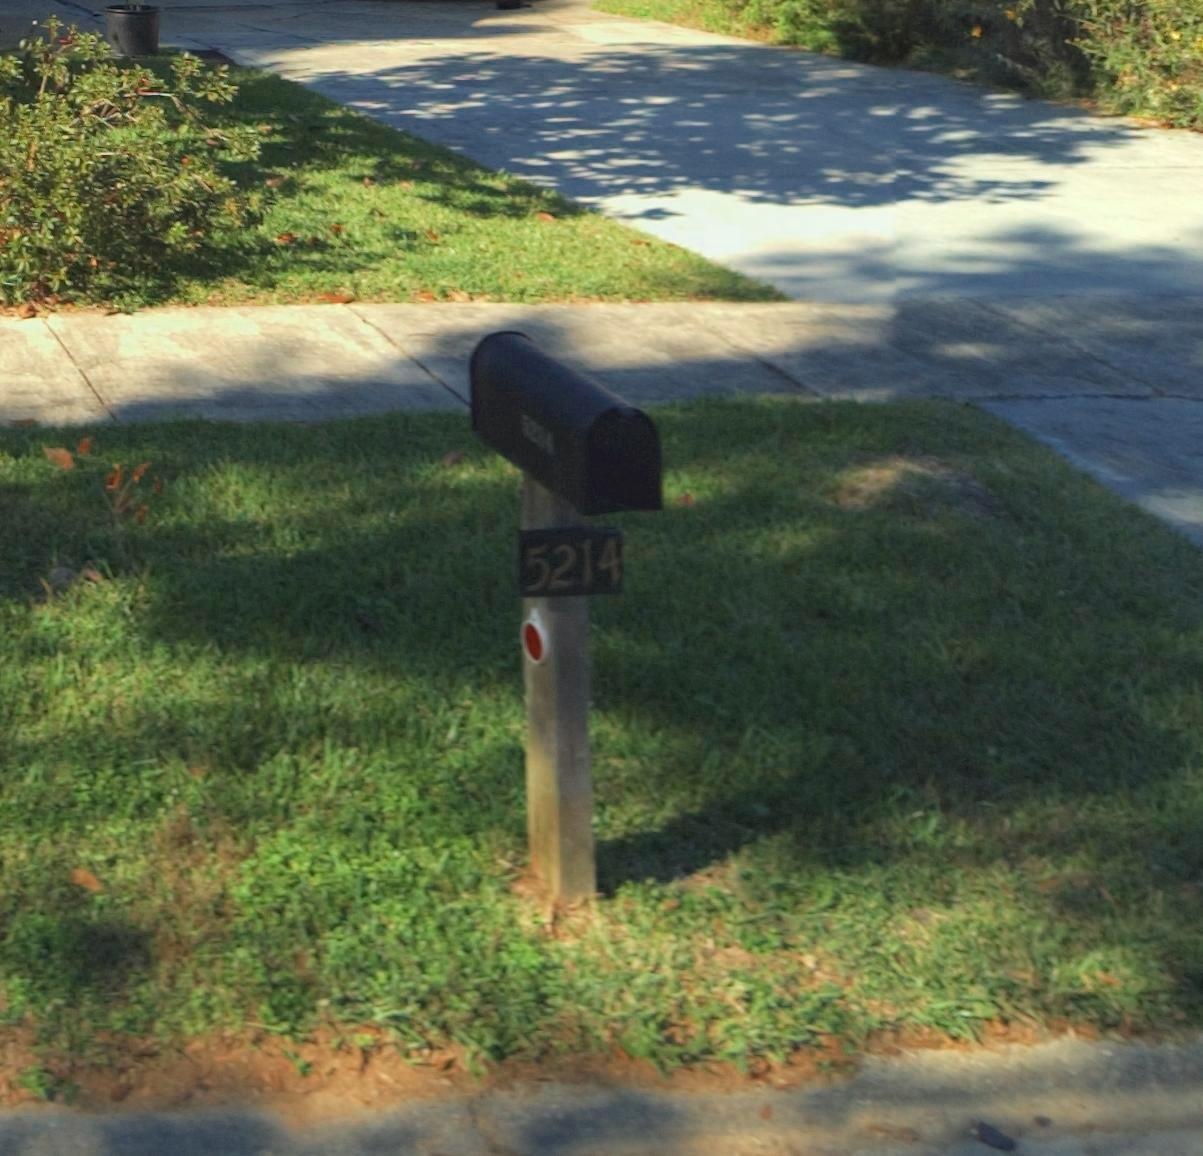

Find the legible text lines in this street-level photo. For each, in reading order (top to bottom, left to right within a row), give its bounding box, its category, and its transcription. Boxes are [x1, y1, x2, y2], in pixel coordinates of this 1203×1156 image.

[521, 531, 625, 597] StreetNumber: 5214